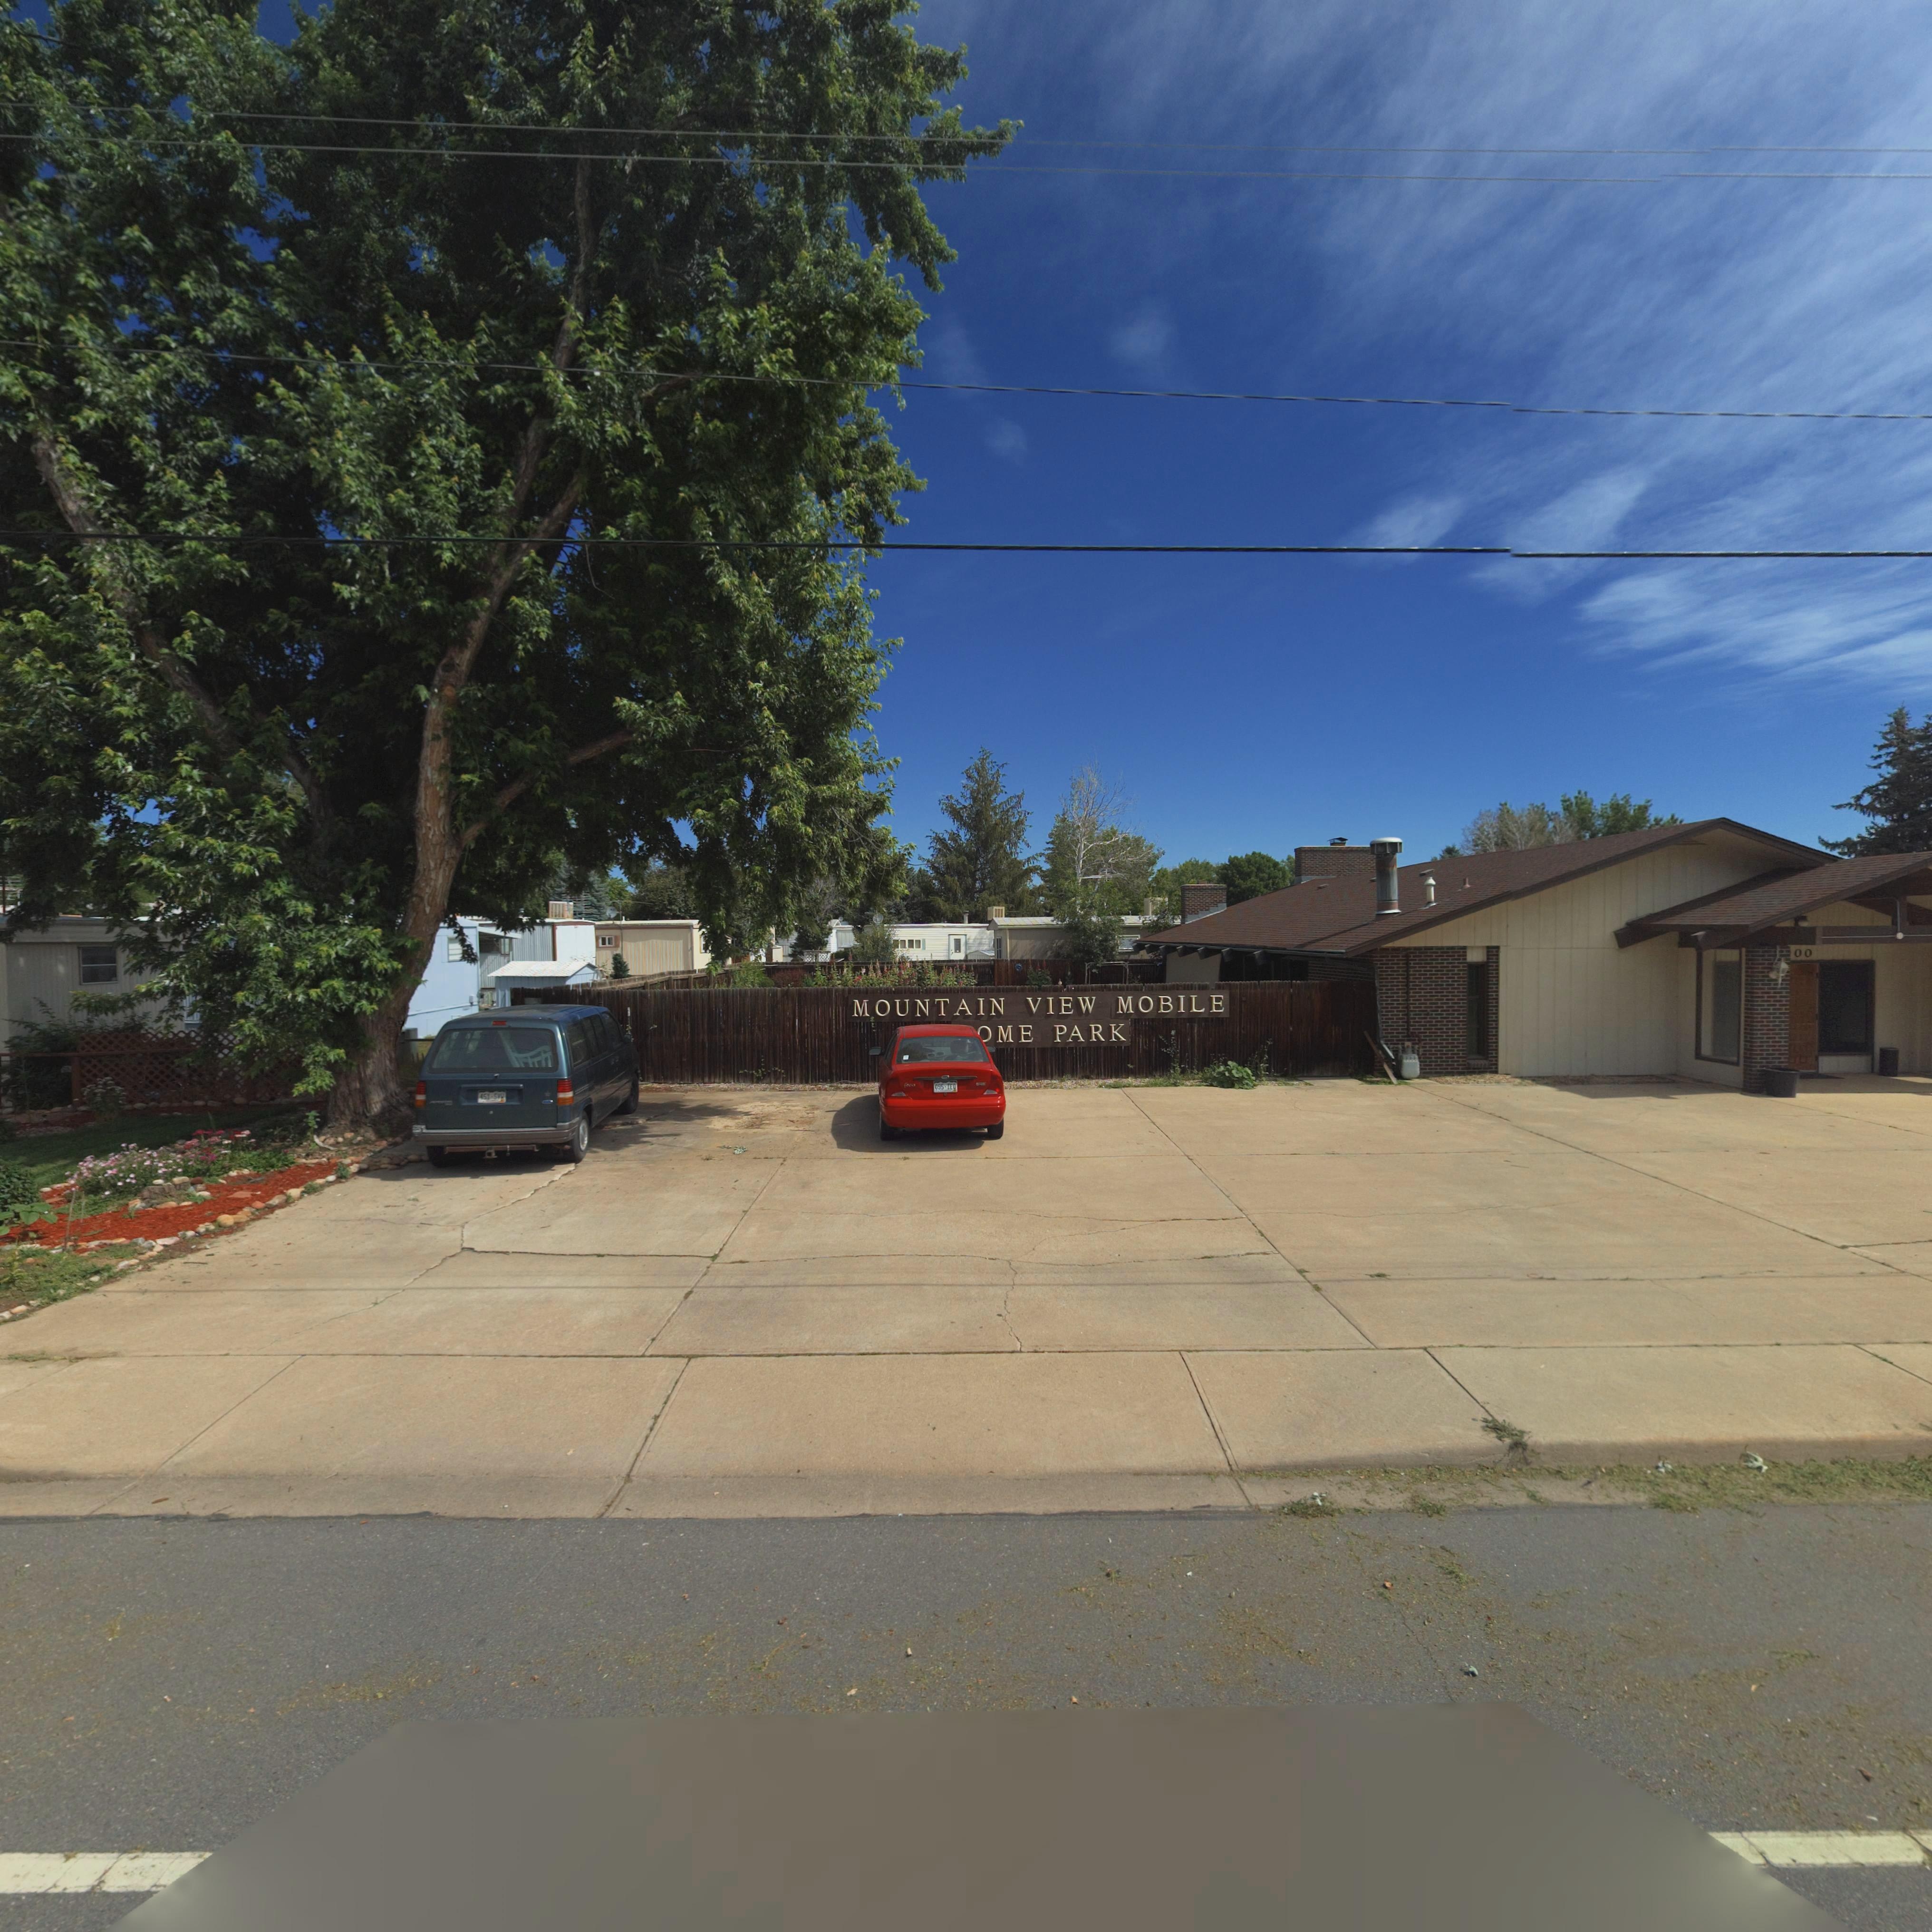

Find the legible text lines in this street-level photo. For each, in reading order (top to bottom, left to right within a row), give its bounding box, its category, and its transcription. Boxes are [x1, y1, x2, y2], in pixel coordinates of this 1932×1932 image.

[1793, 948, 1813, 957] StreetNumber: 00
[850, 994, 1226, 1018] BusinessName: MOUNTAIN VIEW MOBILE
[956, 1022, 1129, 1046] BusinessName: **ME PARK